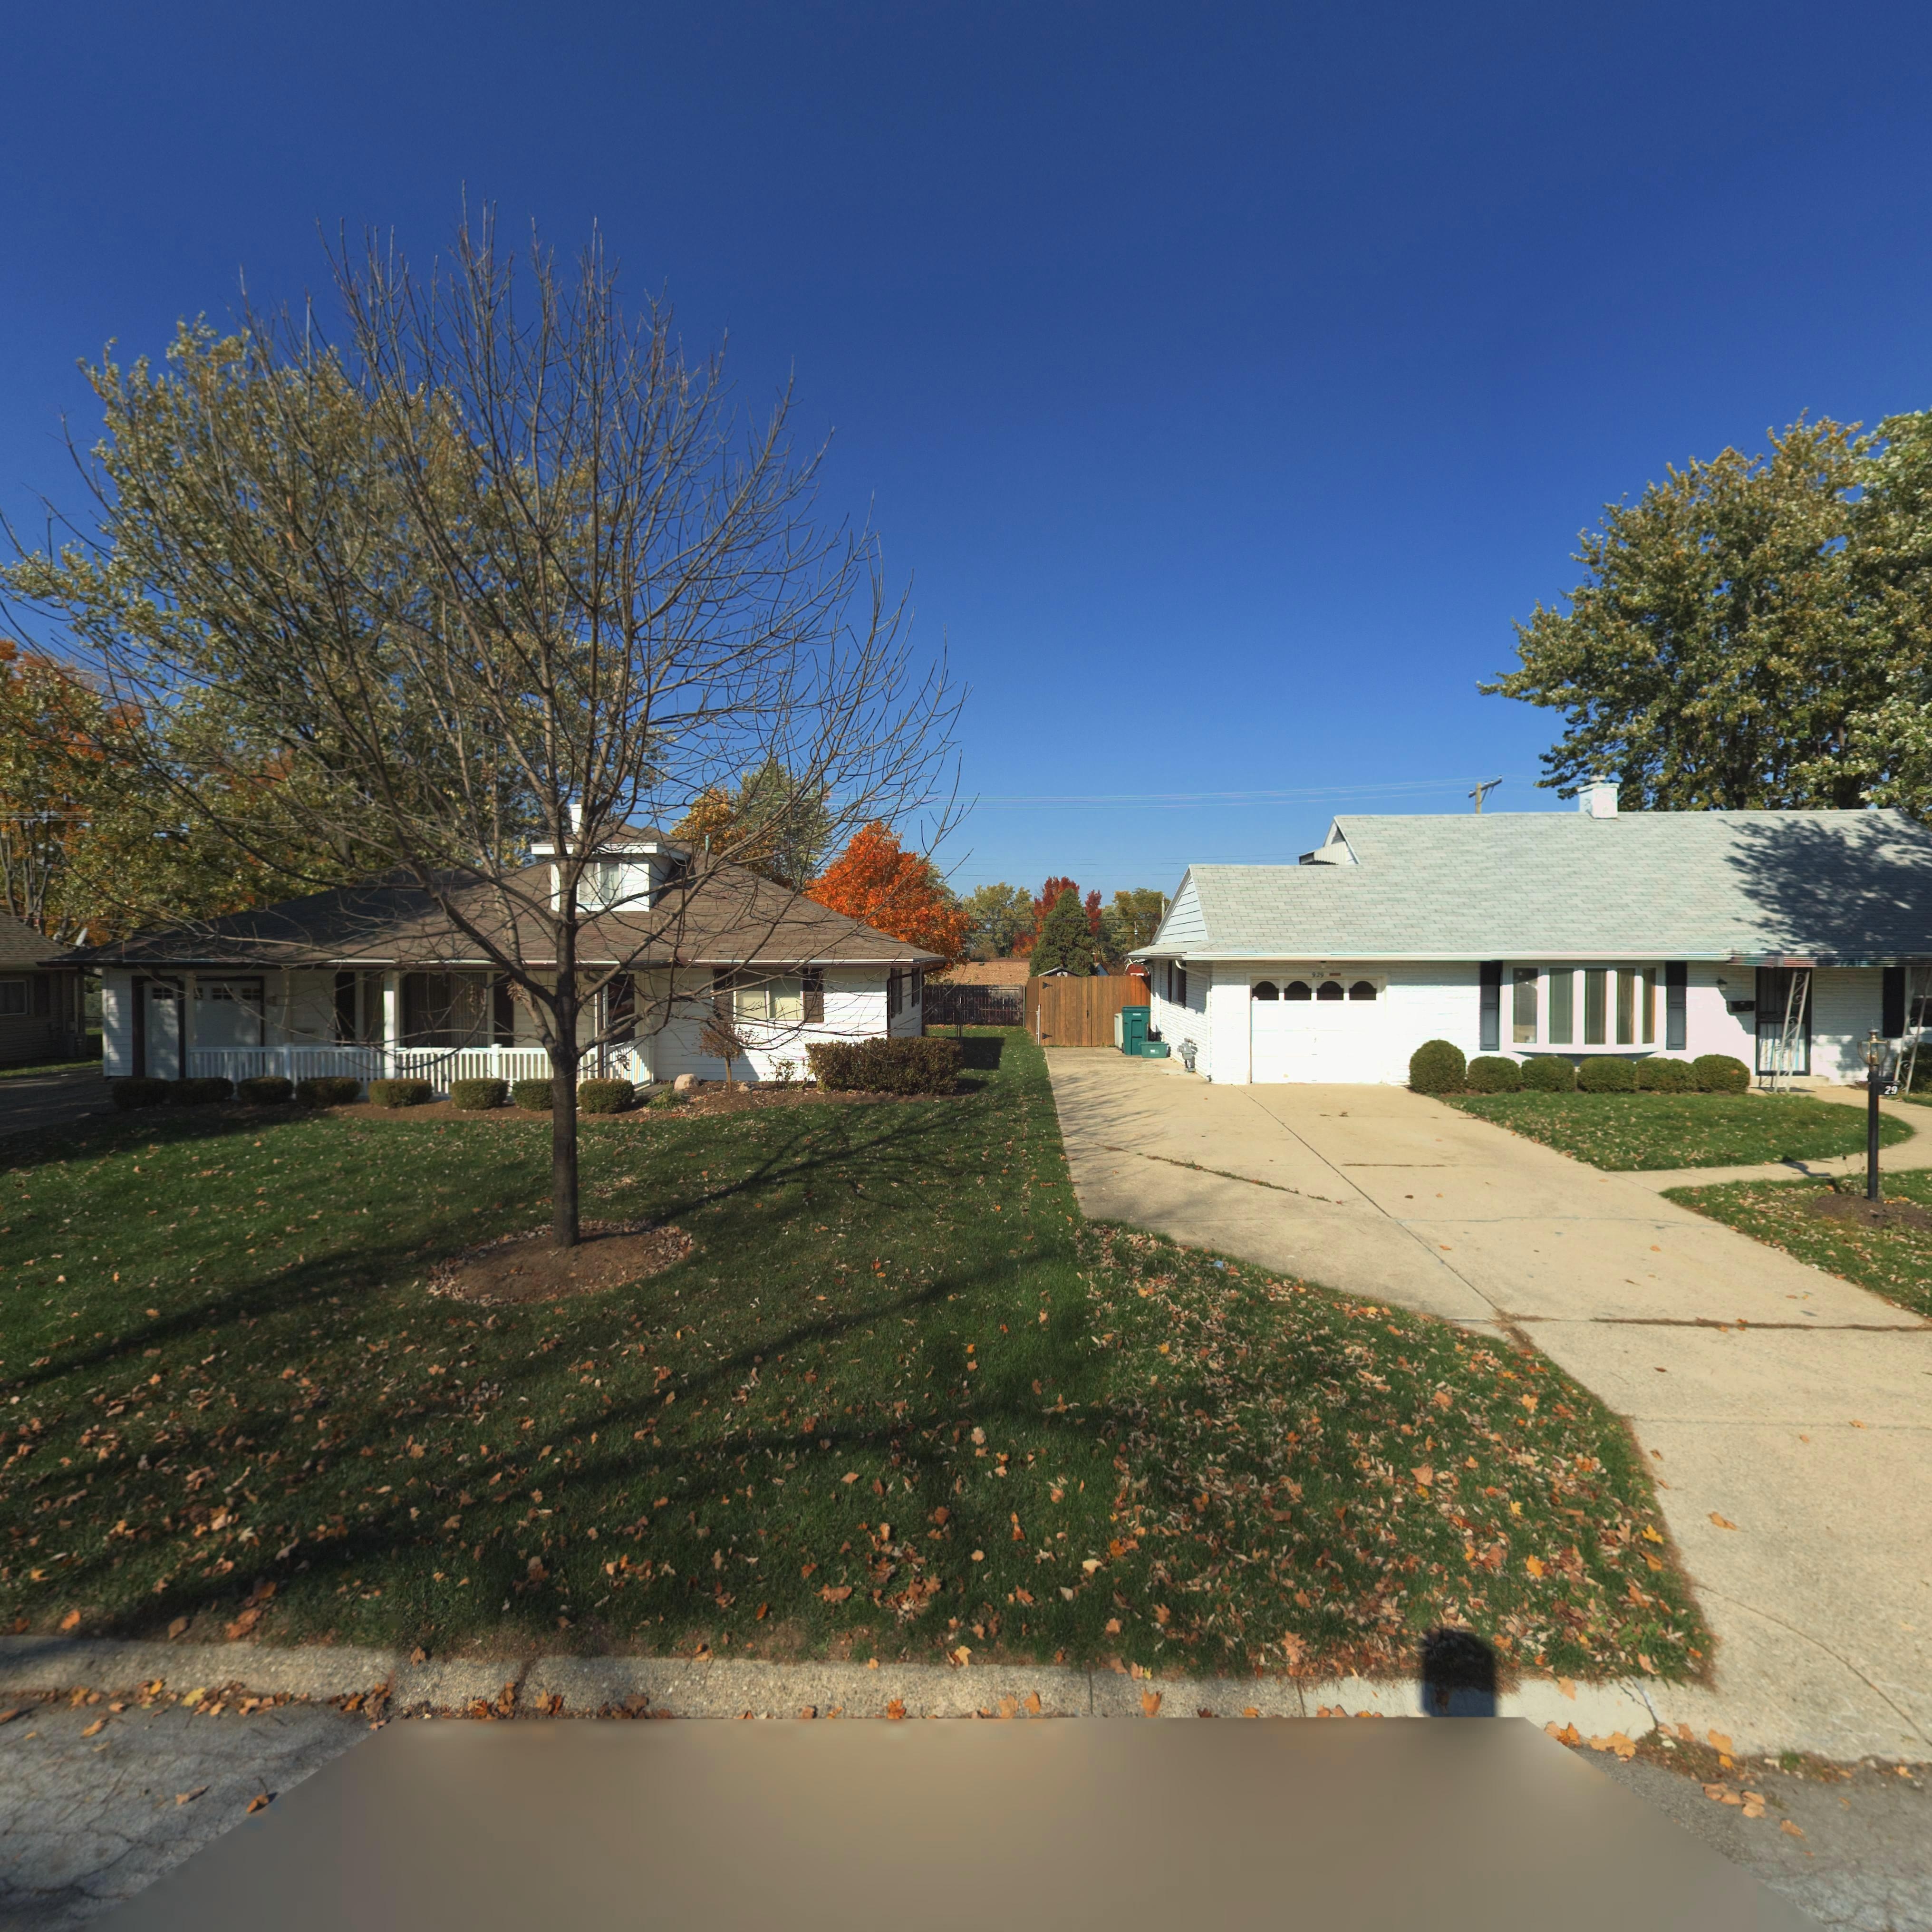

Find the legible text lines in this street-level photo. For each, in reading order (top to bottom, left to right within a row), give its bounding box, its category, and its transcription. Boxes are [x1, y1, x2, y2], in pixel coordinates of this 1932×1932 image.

[1311, 971, 1324, 979] StreetNumber: 929
[1883, 1084, 1898, 1096] StreetNumber: 29